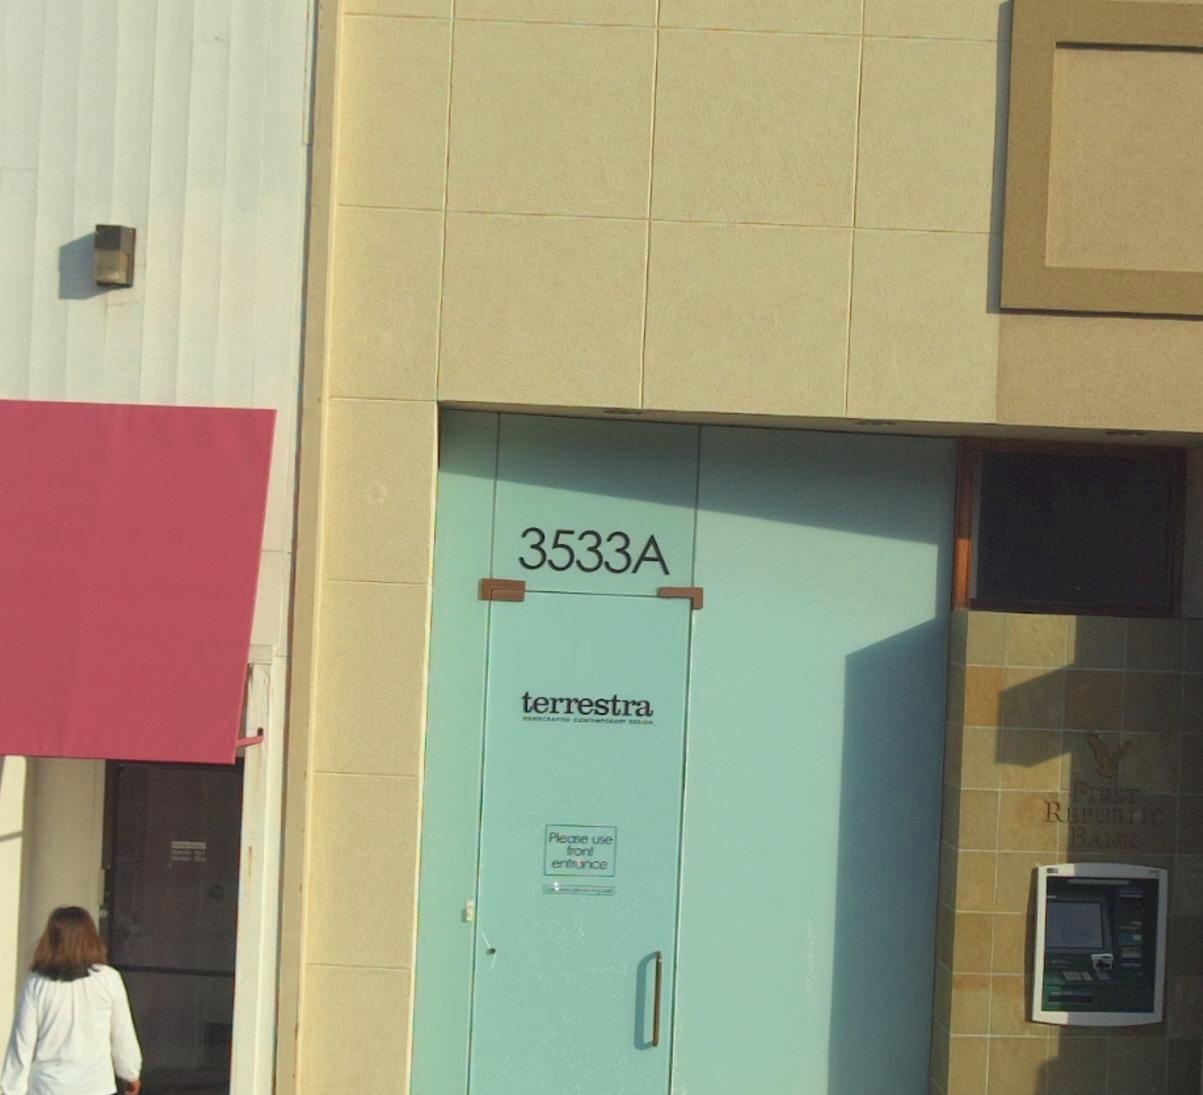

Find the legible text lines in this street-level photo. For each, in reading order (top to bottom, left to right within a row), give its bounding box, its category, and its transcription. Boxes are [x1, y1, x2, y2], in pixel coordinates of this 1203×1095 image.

[515, 524, 675, 578] StreetNumber: 3533 A
[519, 689, 657, 721] BusinessName: terresta
[1070, 776, 1142, 807] BusinessName: FIRST
[1041, 797, 1168, 828] BusinessName: REPUBLIC
[563, 844, 597, 859] None: front
[549, 857, 611, 872] None: entr*nce
[546, 828, 616, 847] None: please use
[1067, 823, 1142, 853] BusinessName: BANK